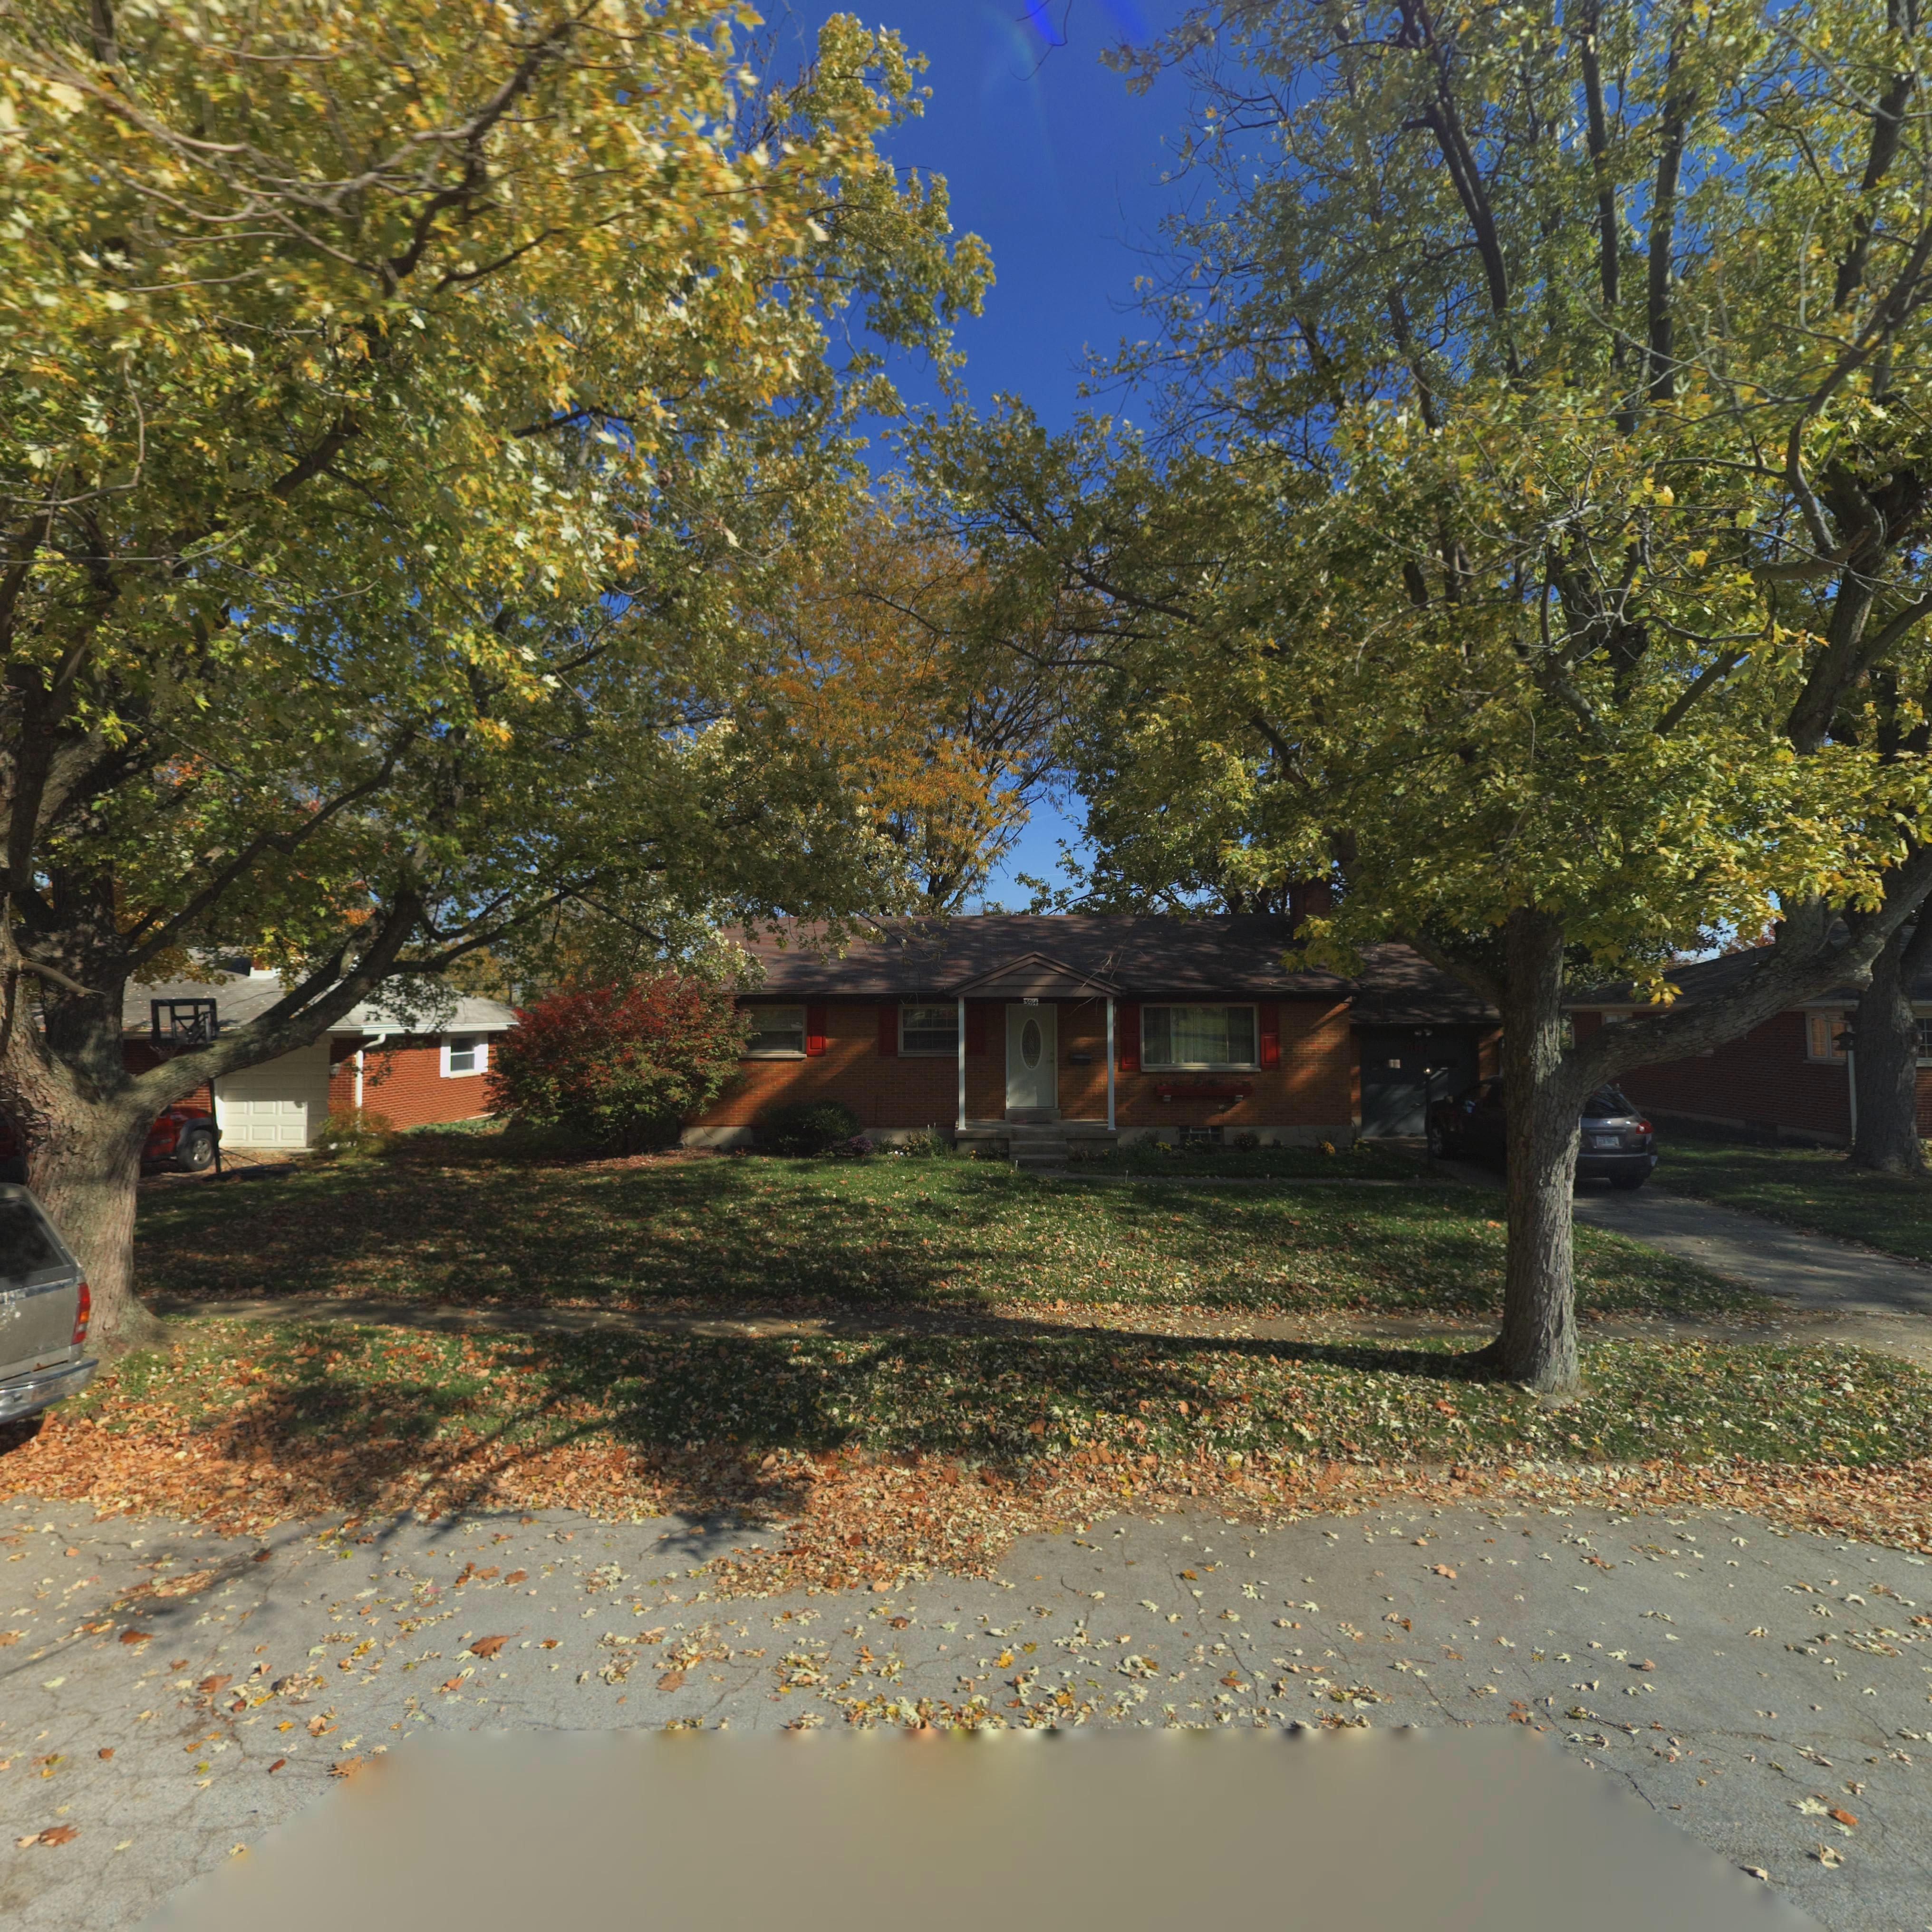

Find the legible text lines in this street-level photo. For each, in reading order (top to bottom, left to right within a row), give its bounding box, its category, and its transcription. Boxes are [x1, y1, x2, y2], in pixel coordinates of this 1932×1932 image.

[1024, 999, 1038, 1005] StreetNumber: 3914